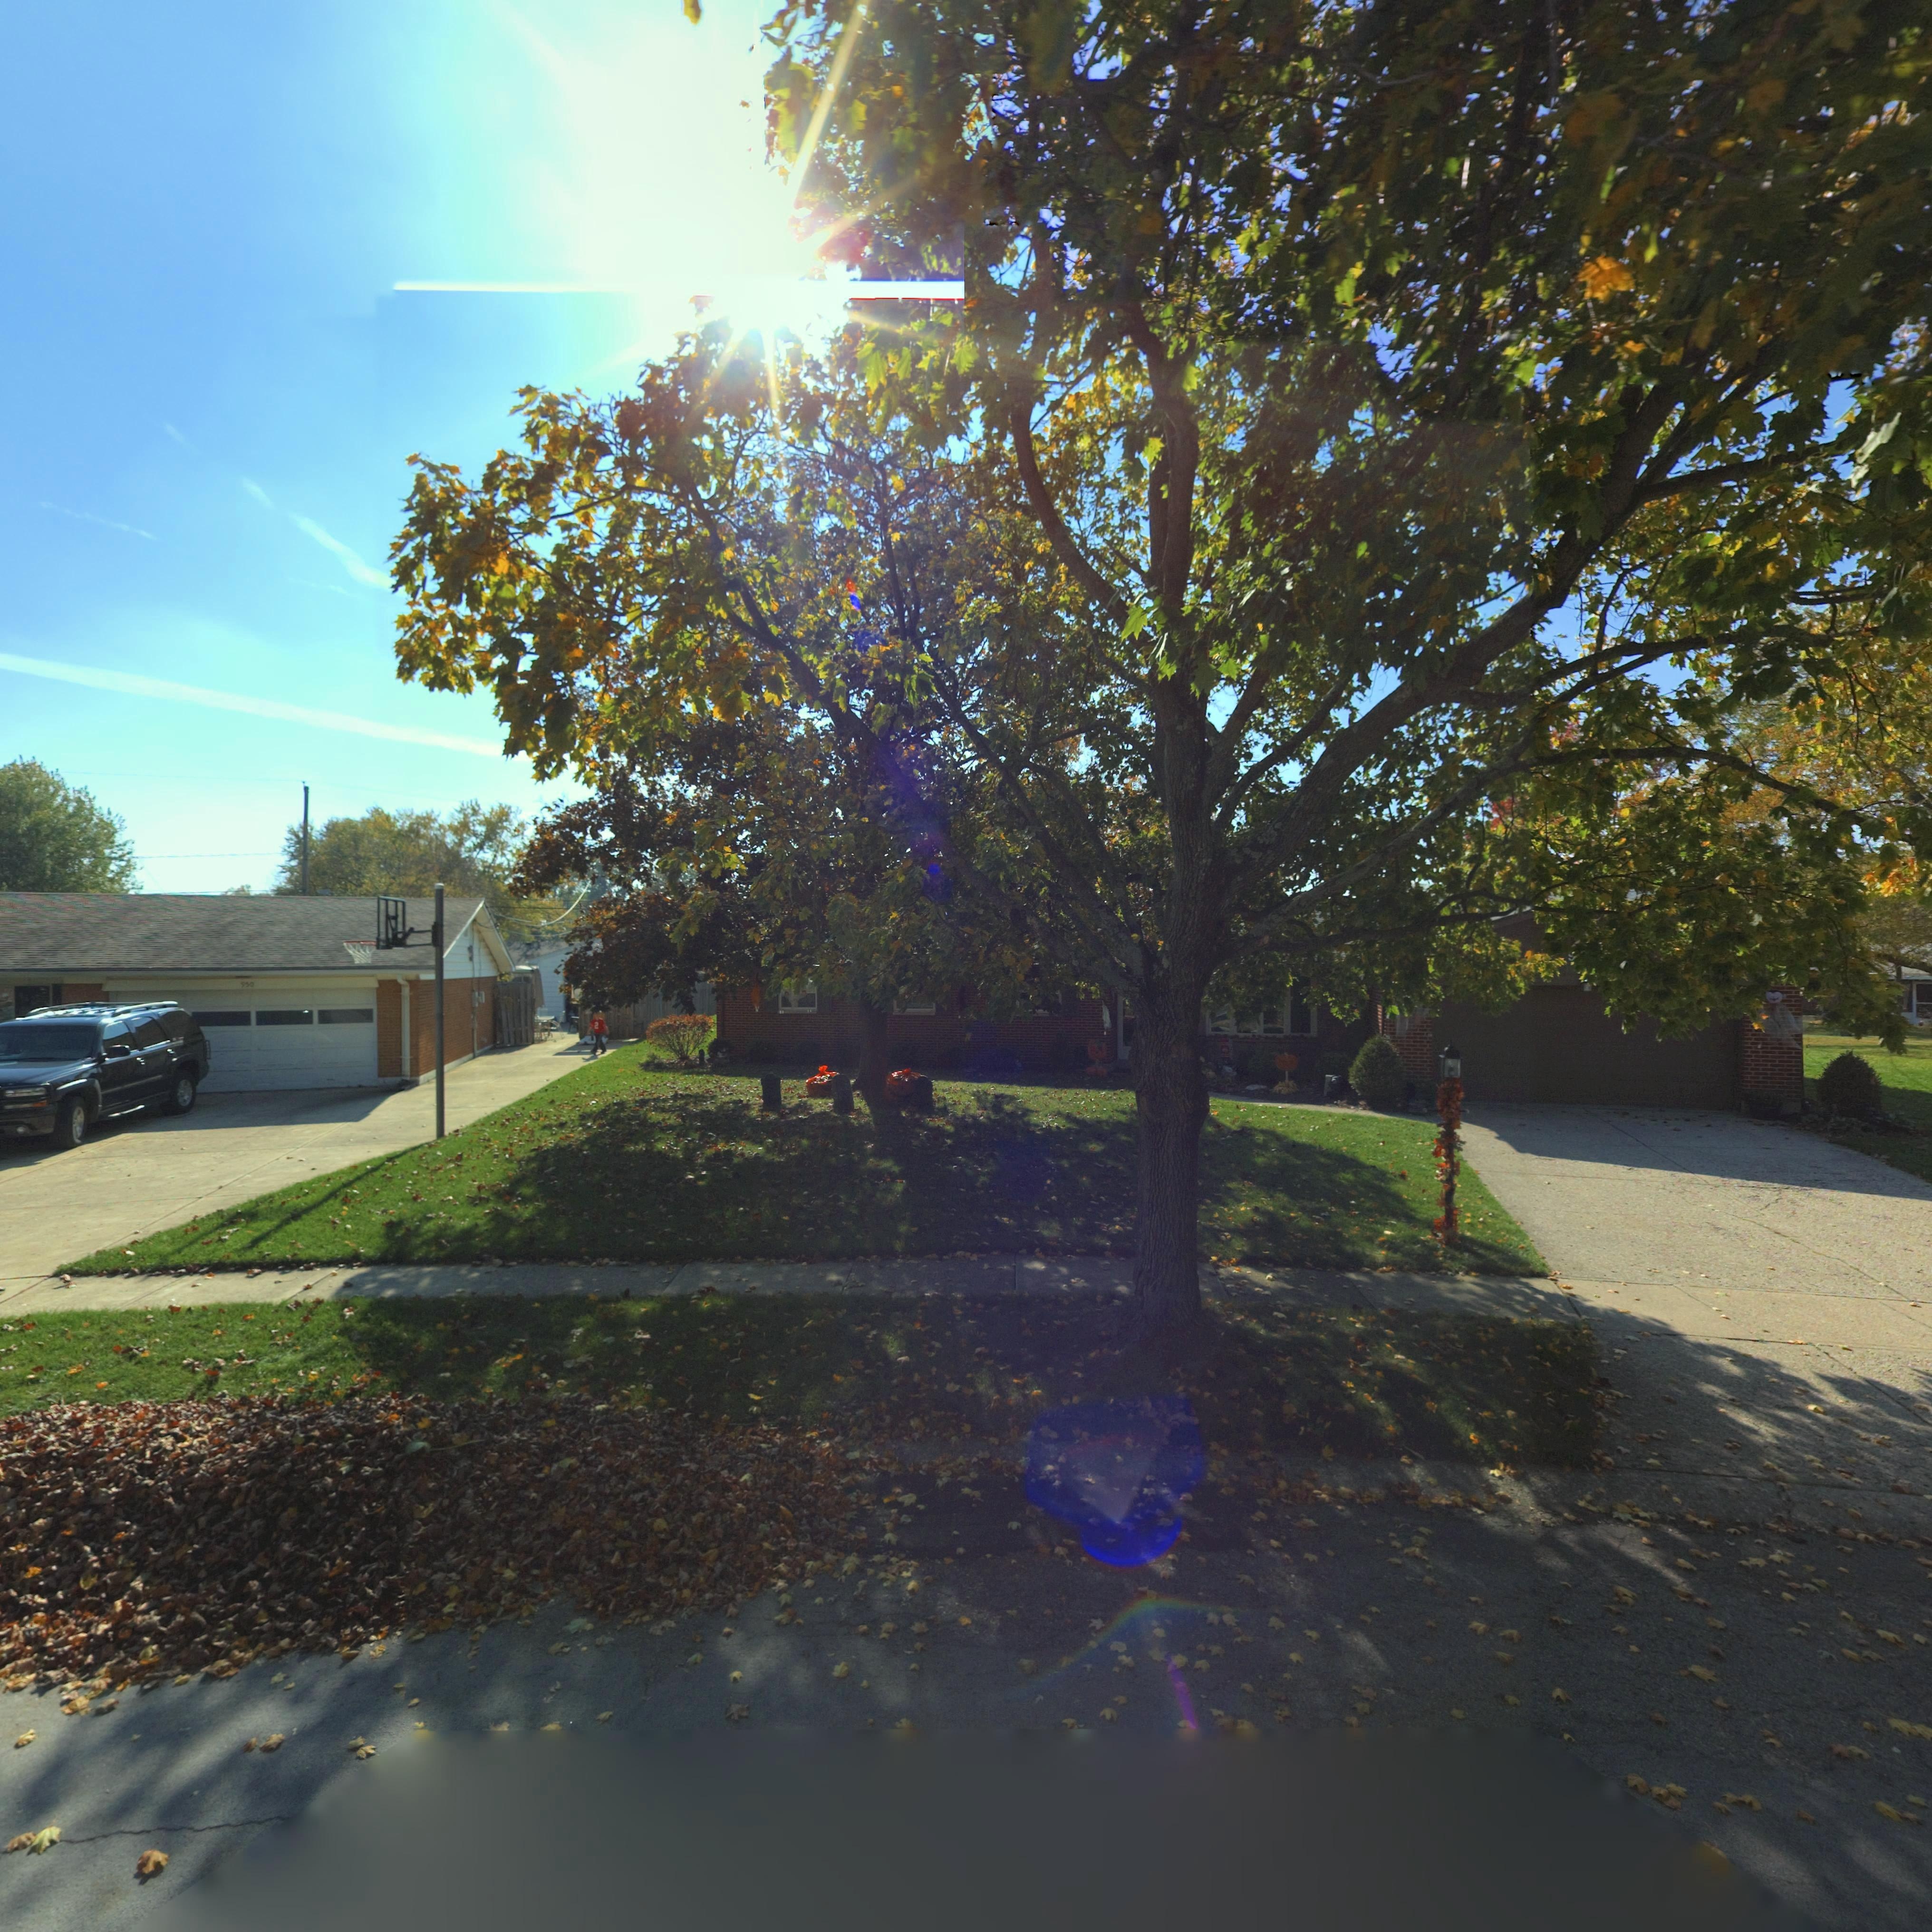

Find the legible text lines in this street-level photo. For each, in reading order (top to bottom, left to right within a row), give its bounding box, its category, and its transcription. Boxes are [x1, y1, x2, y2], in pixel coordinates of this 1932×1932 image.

[240, 981, 255, 987] StreetNumber: 950
[594, 1021, 599, 1029] None: 2